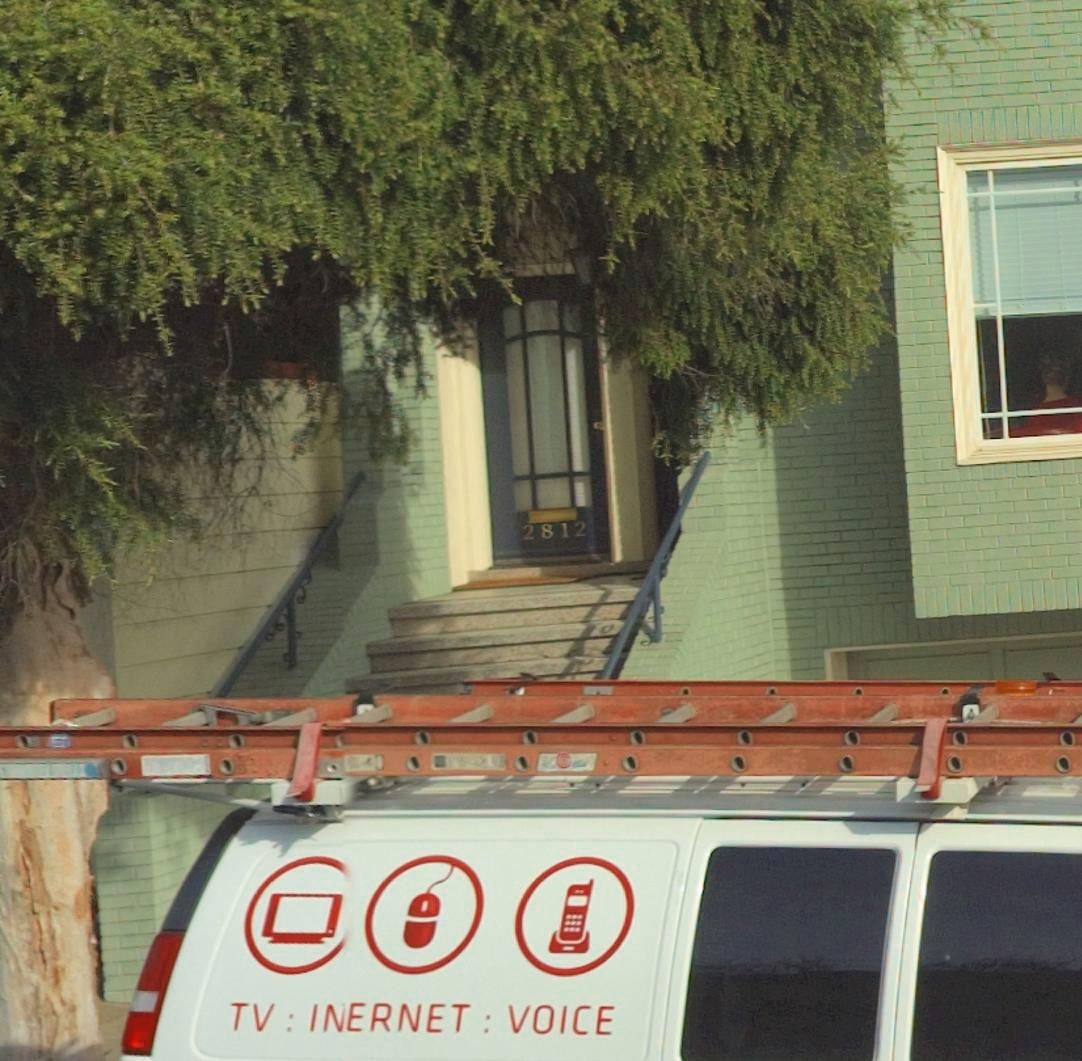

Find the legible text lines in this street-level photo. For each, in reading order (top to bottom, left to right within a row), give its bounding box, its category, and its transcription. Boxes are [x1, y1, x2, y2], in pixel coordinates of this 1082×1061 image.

[520, 517, 590, 544] StreetNumber: 2812
[224, 996, 620, 1040] None: TV : INTERNET : VOICE